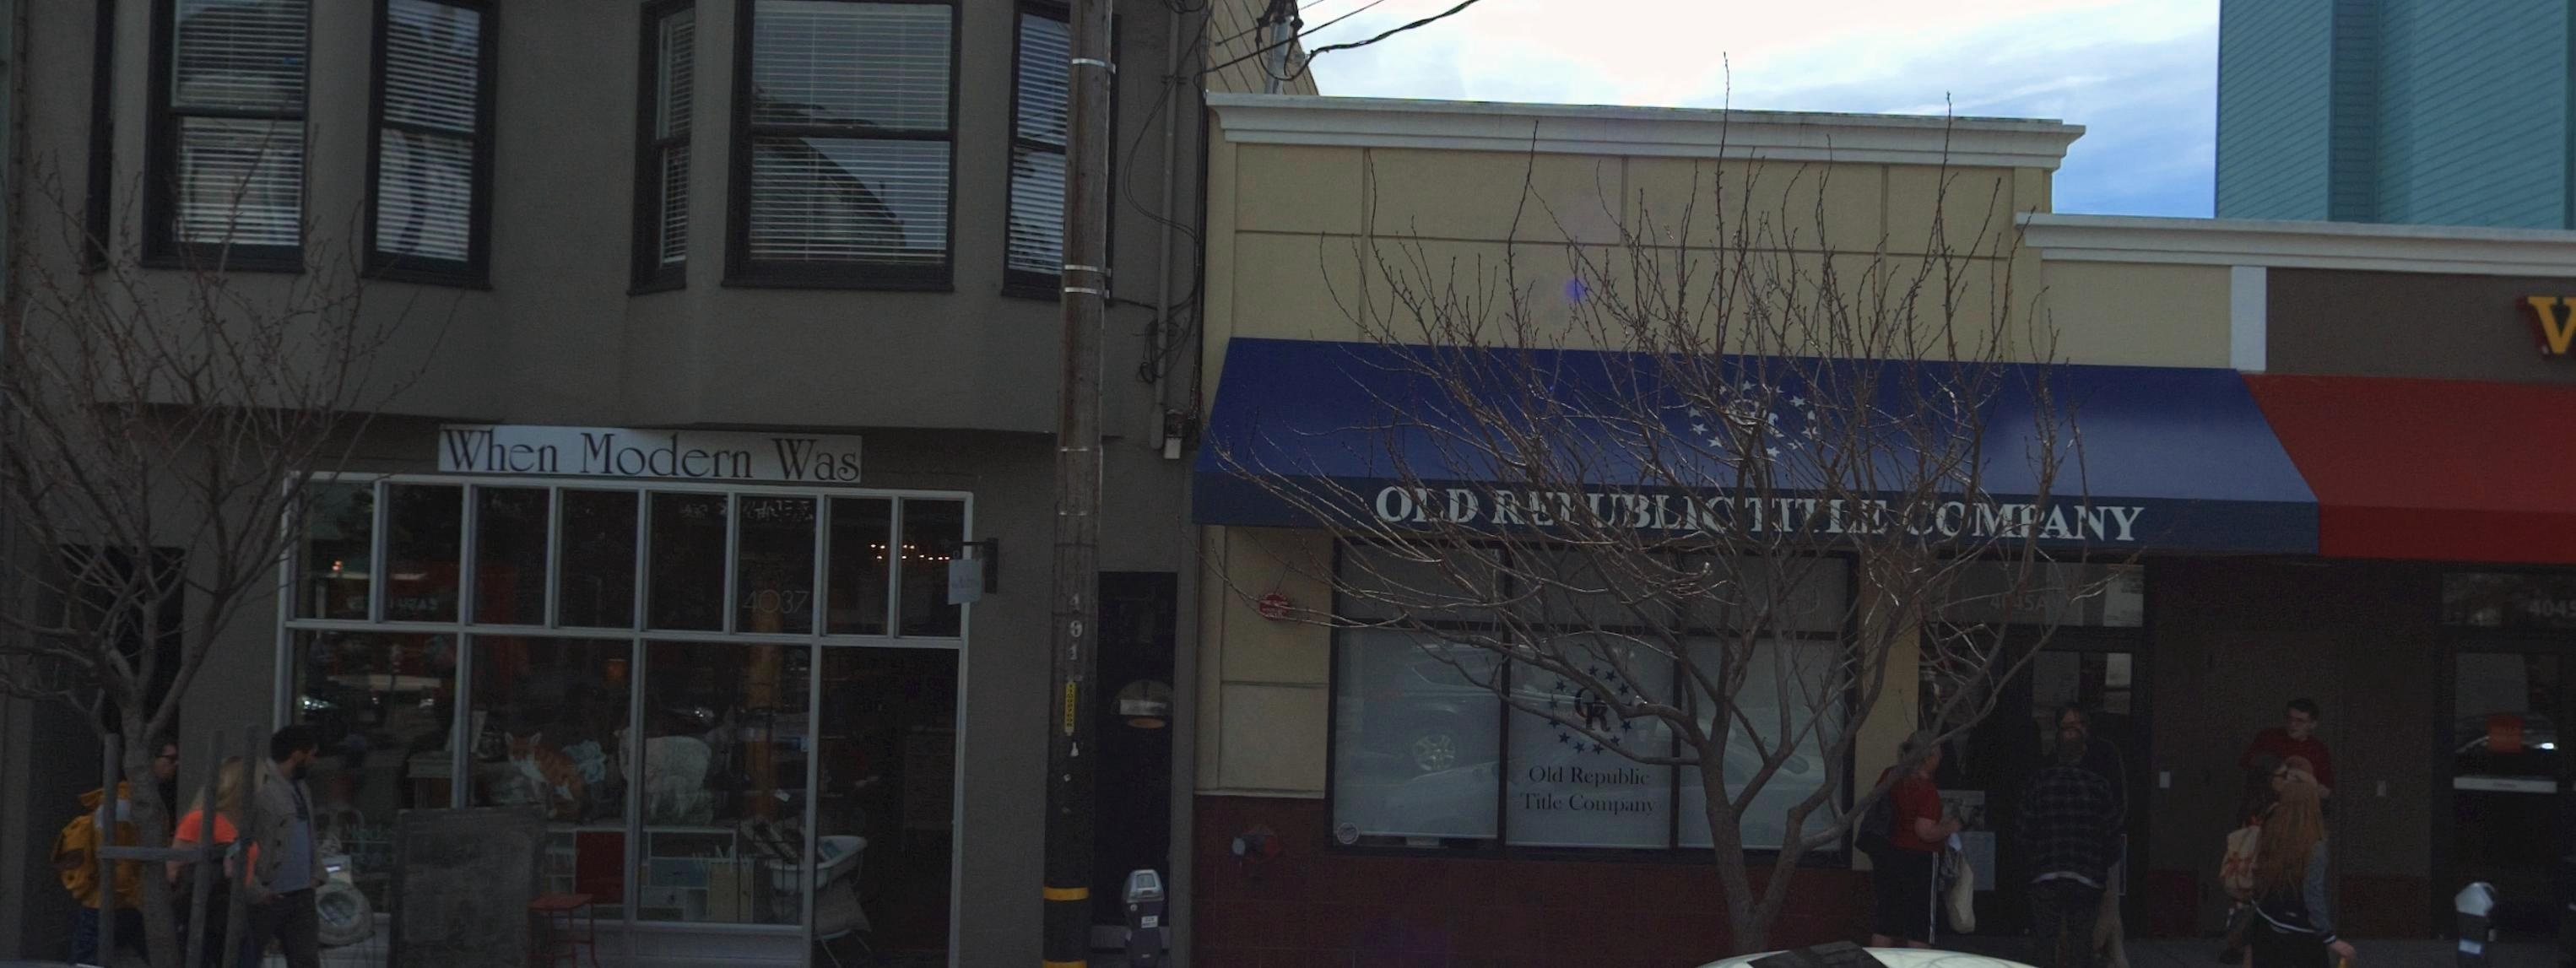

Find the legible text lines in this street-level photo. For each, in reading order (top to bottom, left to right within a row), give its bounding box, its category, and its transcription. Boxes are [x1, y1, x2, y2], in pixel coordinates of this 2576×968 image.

[441, 428, 859, 483] BusinessName: When Modern Was
[1375, 484, 2146, 543] BusinessName: OLD ******L** ***L* **M*ANY
[739, 589, 810, 615] StreetNumber: 4037
[1068, 589, 1085, 662] None: 491
[1583, 700, 1612, 733] None: R
[1529, 764, 1651, 787] BusinessName: Old Republic
[1518, 792, 1659, 817] BusinessName: Title Company